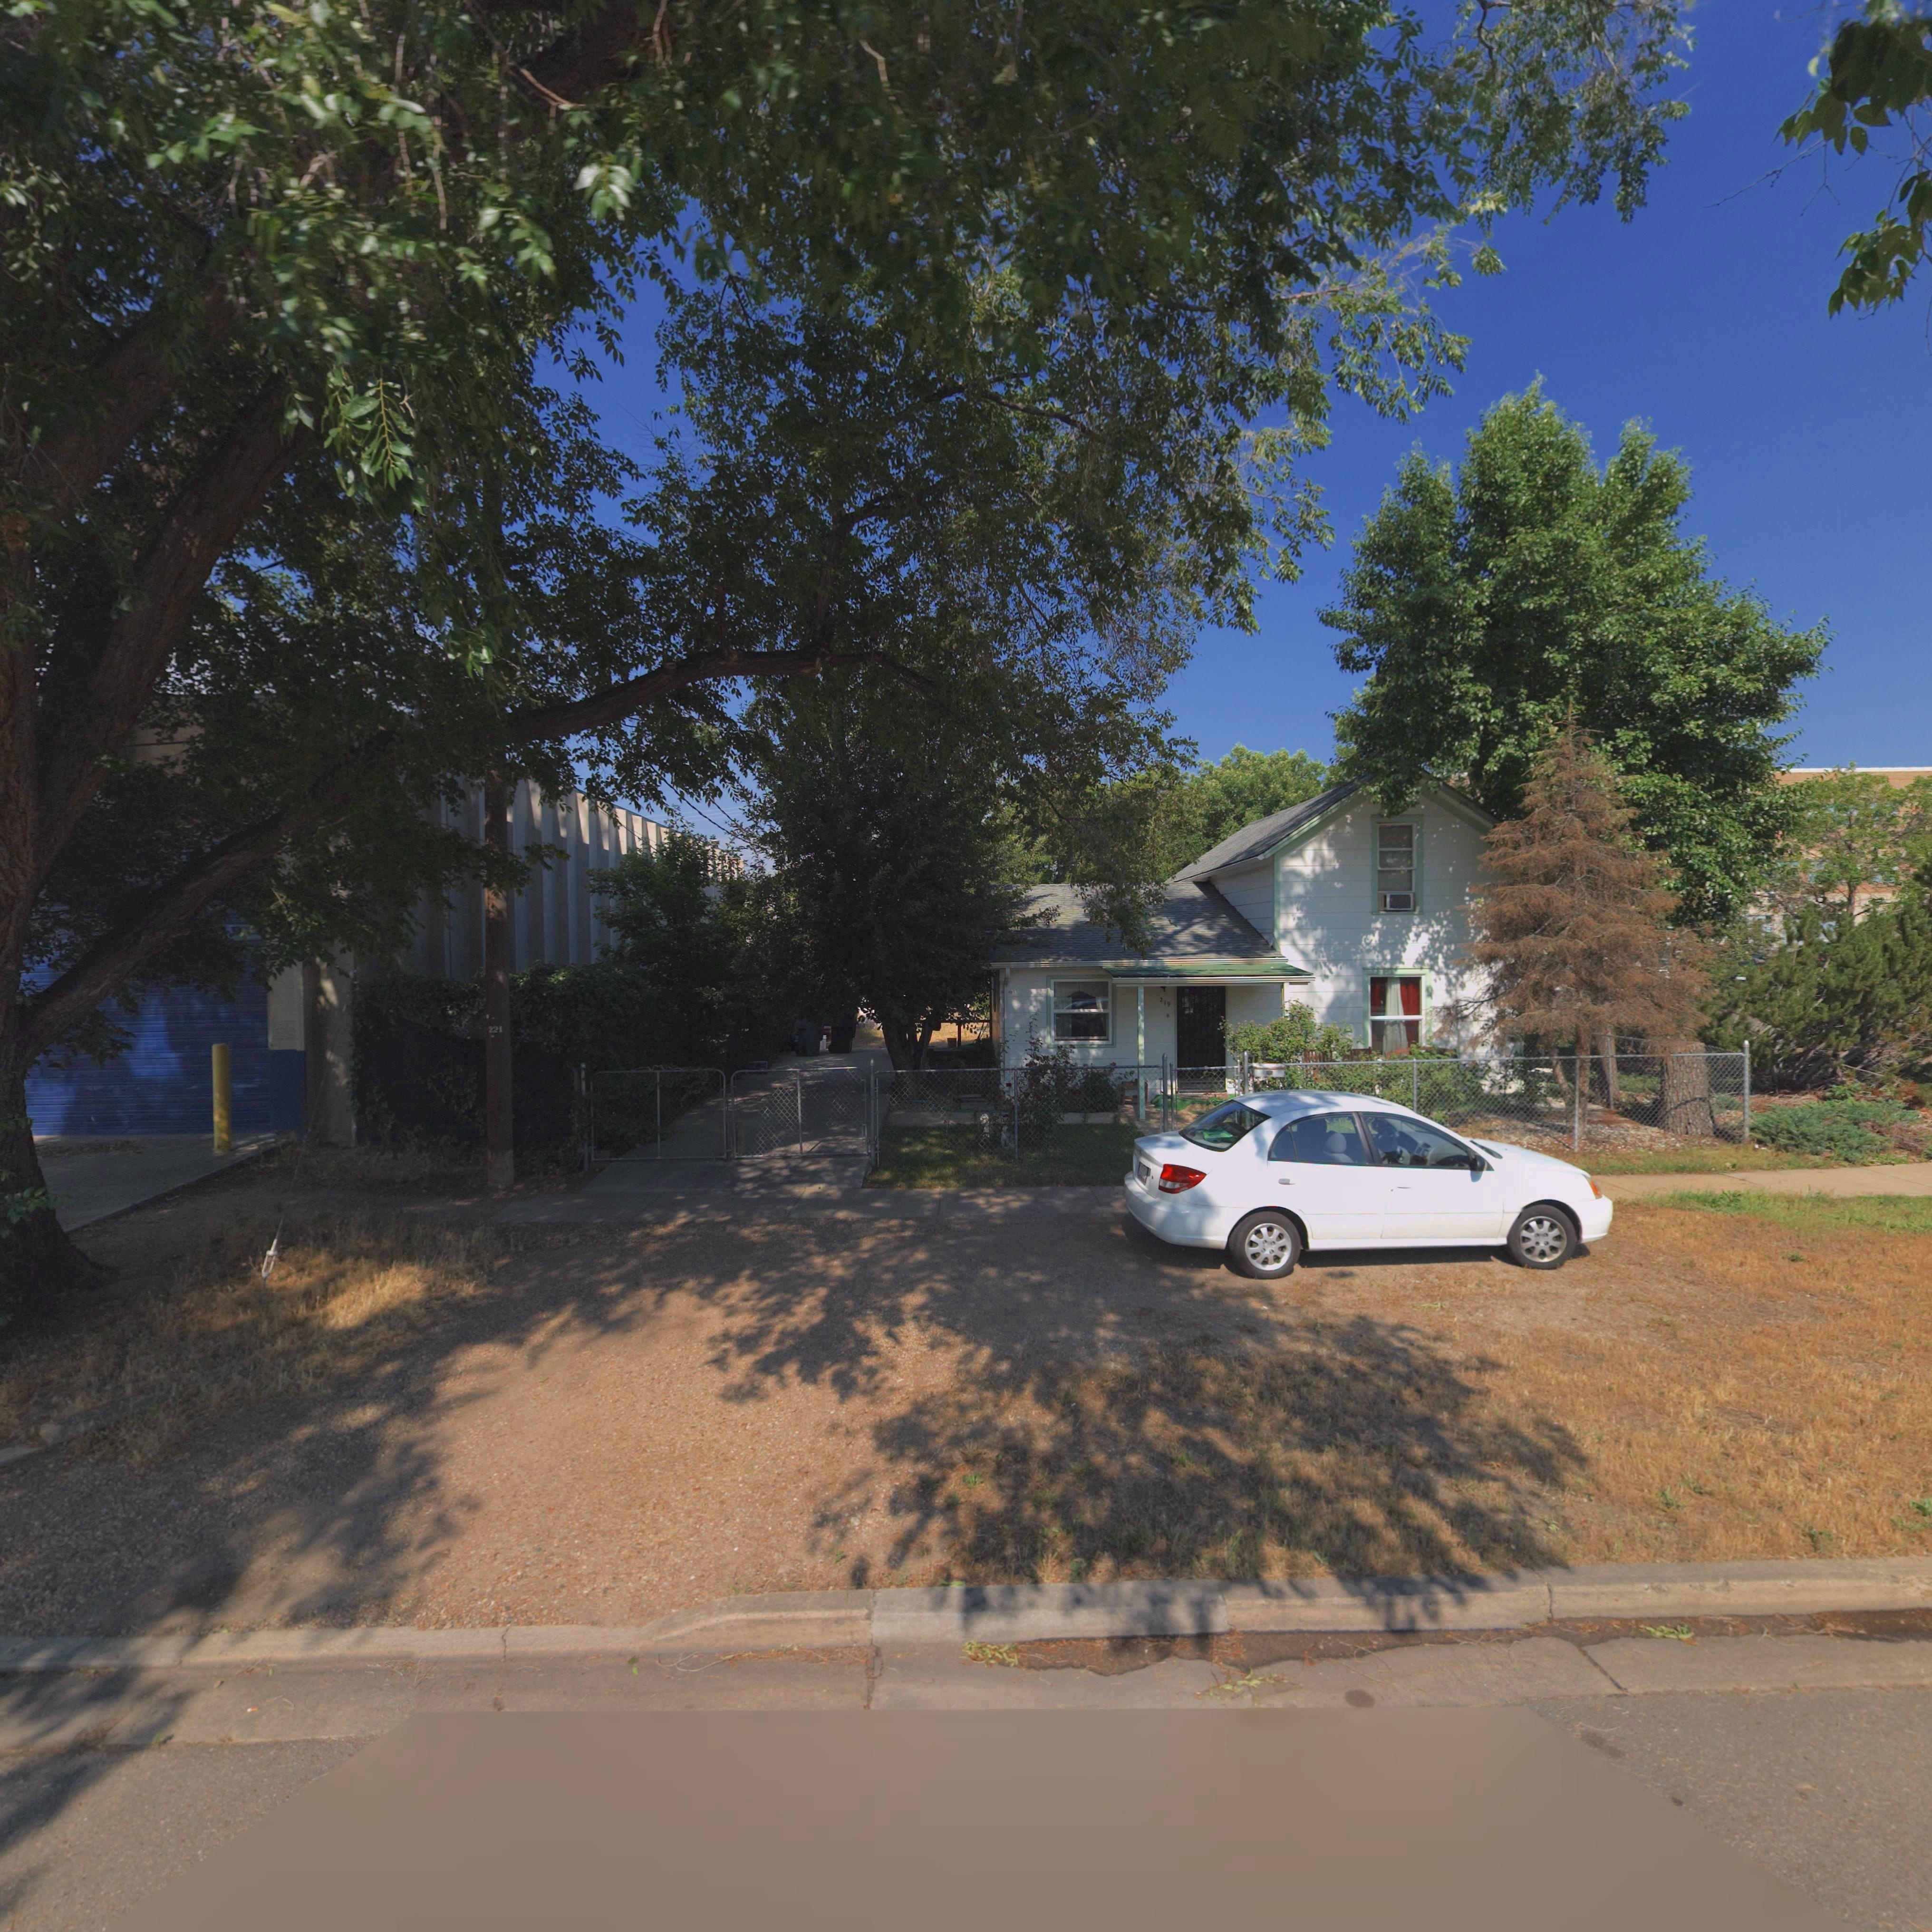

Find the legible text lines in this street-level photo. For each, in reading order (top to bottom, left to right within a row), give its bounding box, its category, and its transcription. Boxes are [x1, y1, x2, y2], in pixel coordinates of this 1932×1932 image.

[1159, 997, 1170, 1007] StreetNumber: 219